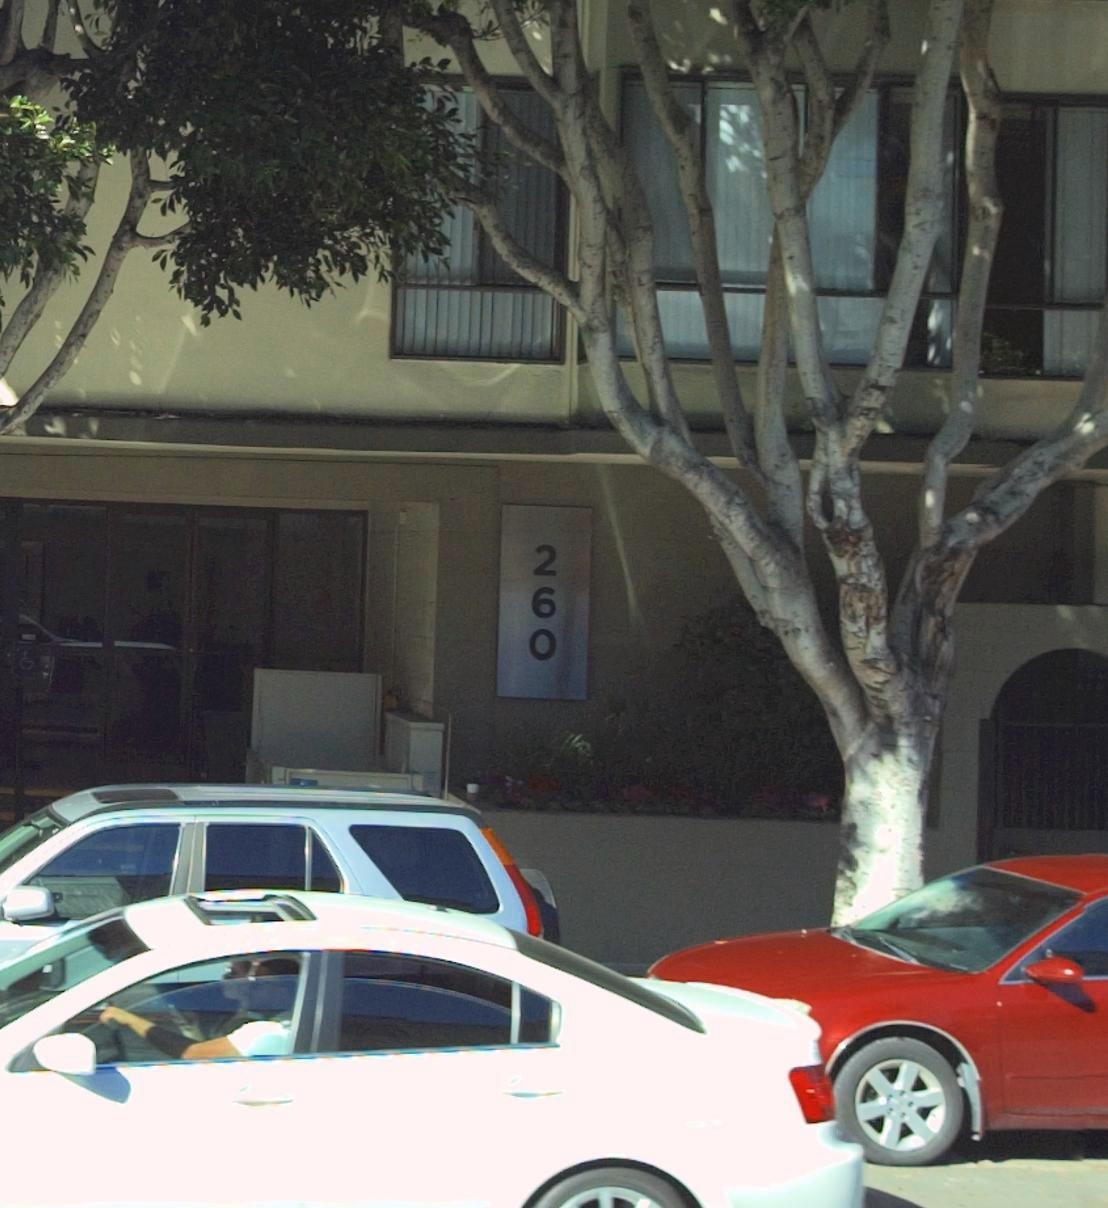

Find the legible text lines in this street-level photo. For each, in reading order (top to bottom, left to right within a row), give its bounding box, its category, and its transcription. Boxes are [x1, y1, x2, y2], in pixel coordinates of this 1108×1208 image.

[527, 540, 560, 662] StreetNumber: 260